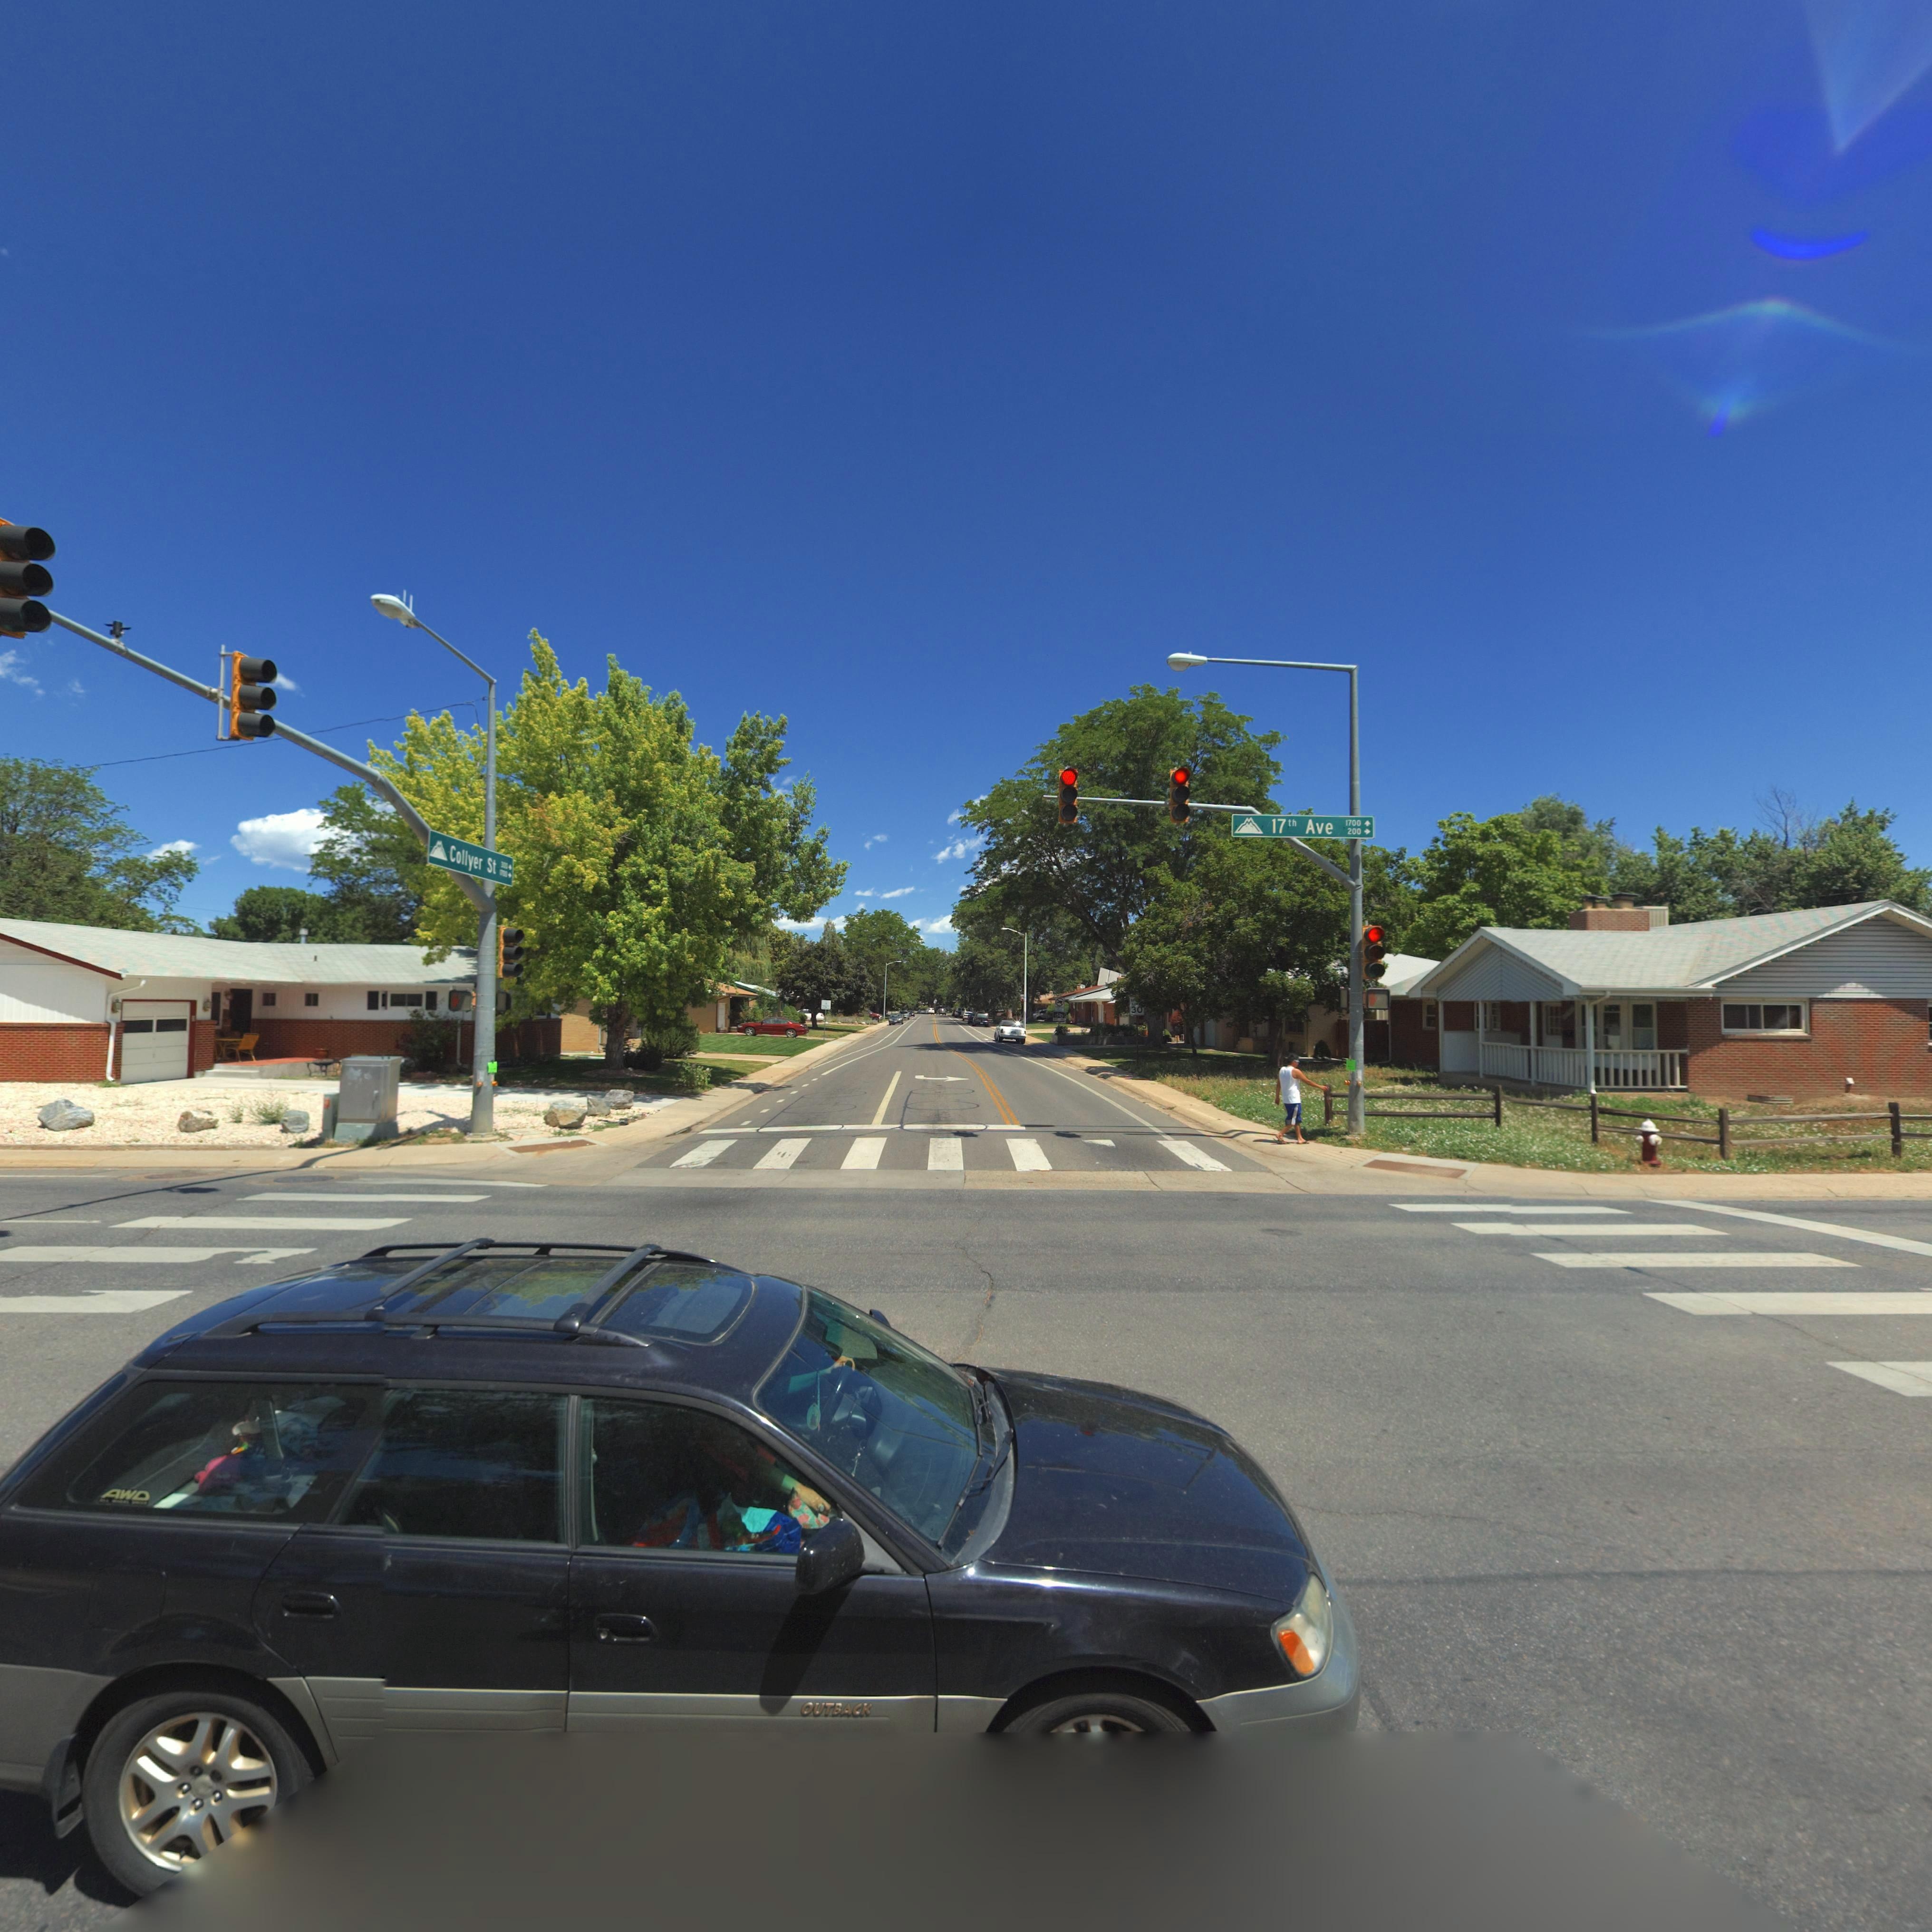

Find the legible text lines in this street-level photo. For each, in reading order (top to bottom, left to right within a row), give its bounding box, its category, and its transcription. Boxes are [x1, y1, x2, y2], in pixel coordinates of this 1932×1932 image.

[1271, 818, 1333, 834] StreetName: 17th Ave
[1344, 819, 1361, 826] StreetNumberRange: 1700
[1347, 827, 1371, 835] StreetNumberRange: 200->
[449, 844, 497, 875] StreetName: Collyer St
[500, 860, 508, 869] StreetNumberRange: 3**
[499, 869, 512, 878] StreetNumberRange: ****->